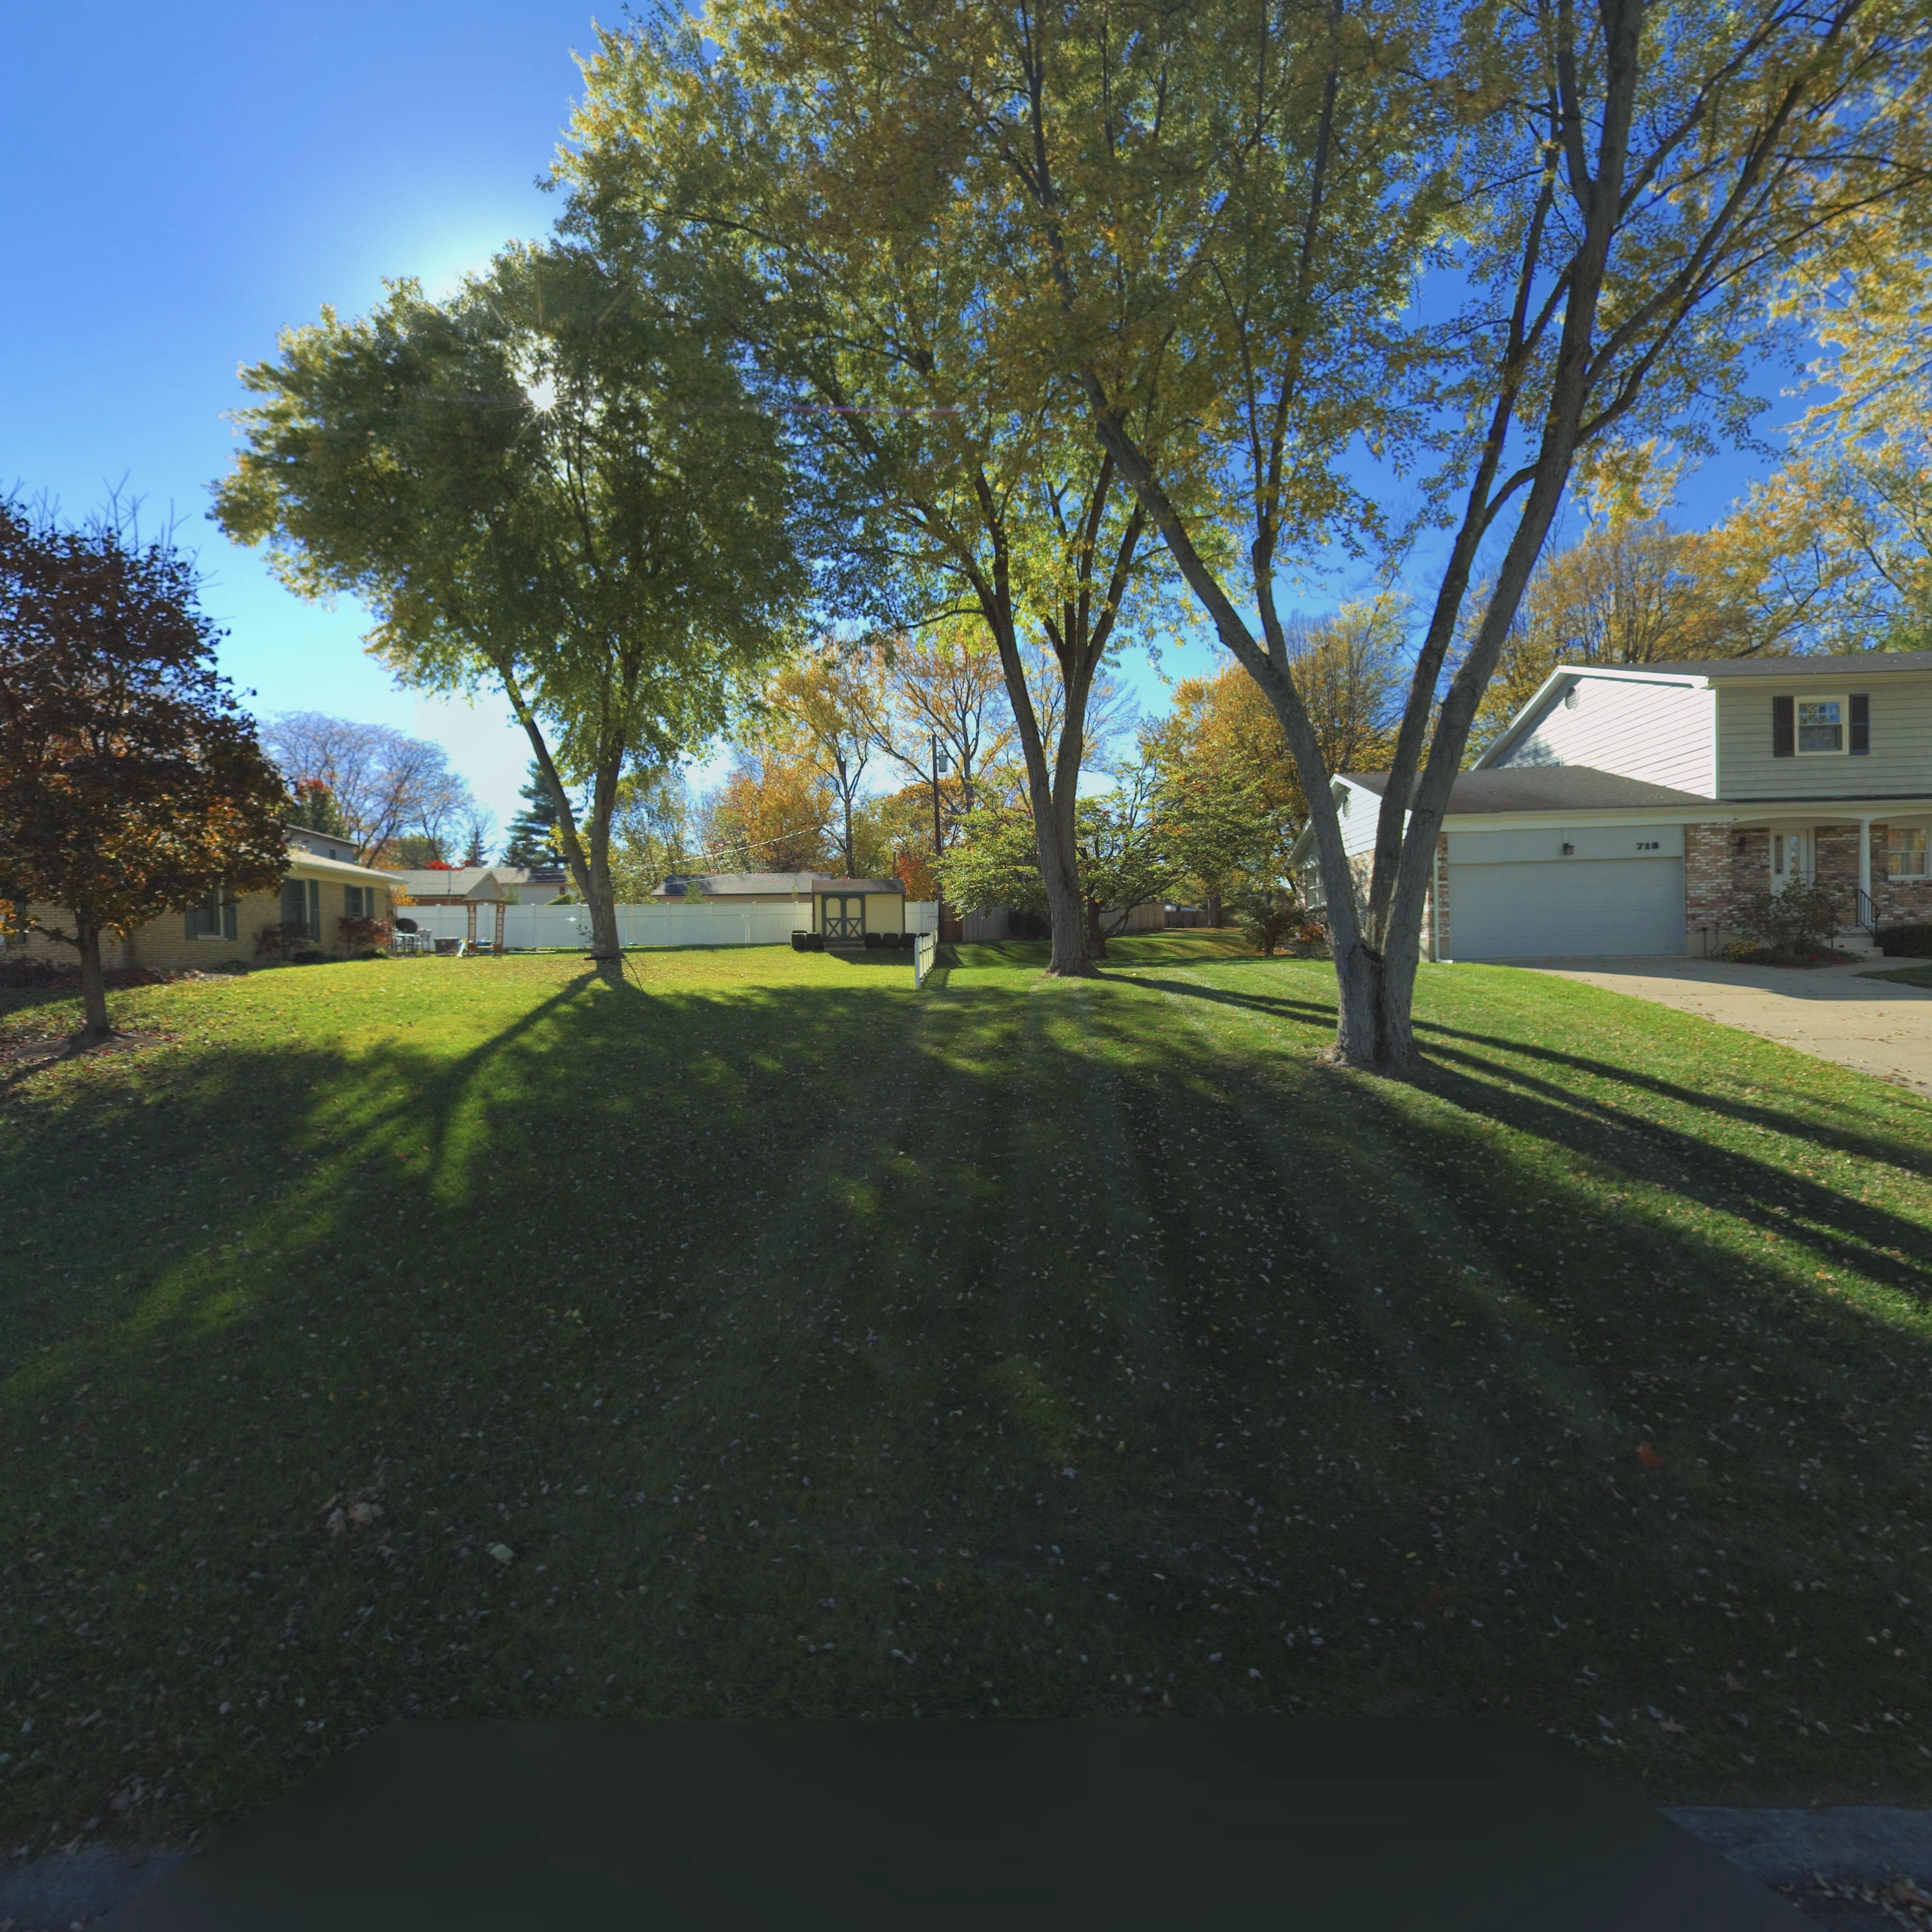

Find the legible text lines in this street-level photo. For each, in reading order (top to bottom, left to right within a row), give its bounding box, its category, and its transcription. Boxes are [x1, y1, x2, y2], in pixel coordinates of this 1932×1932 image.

[1635, 841, 1660, 850] StreetNumber: 718